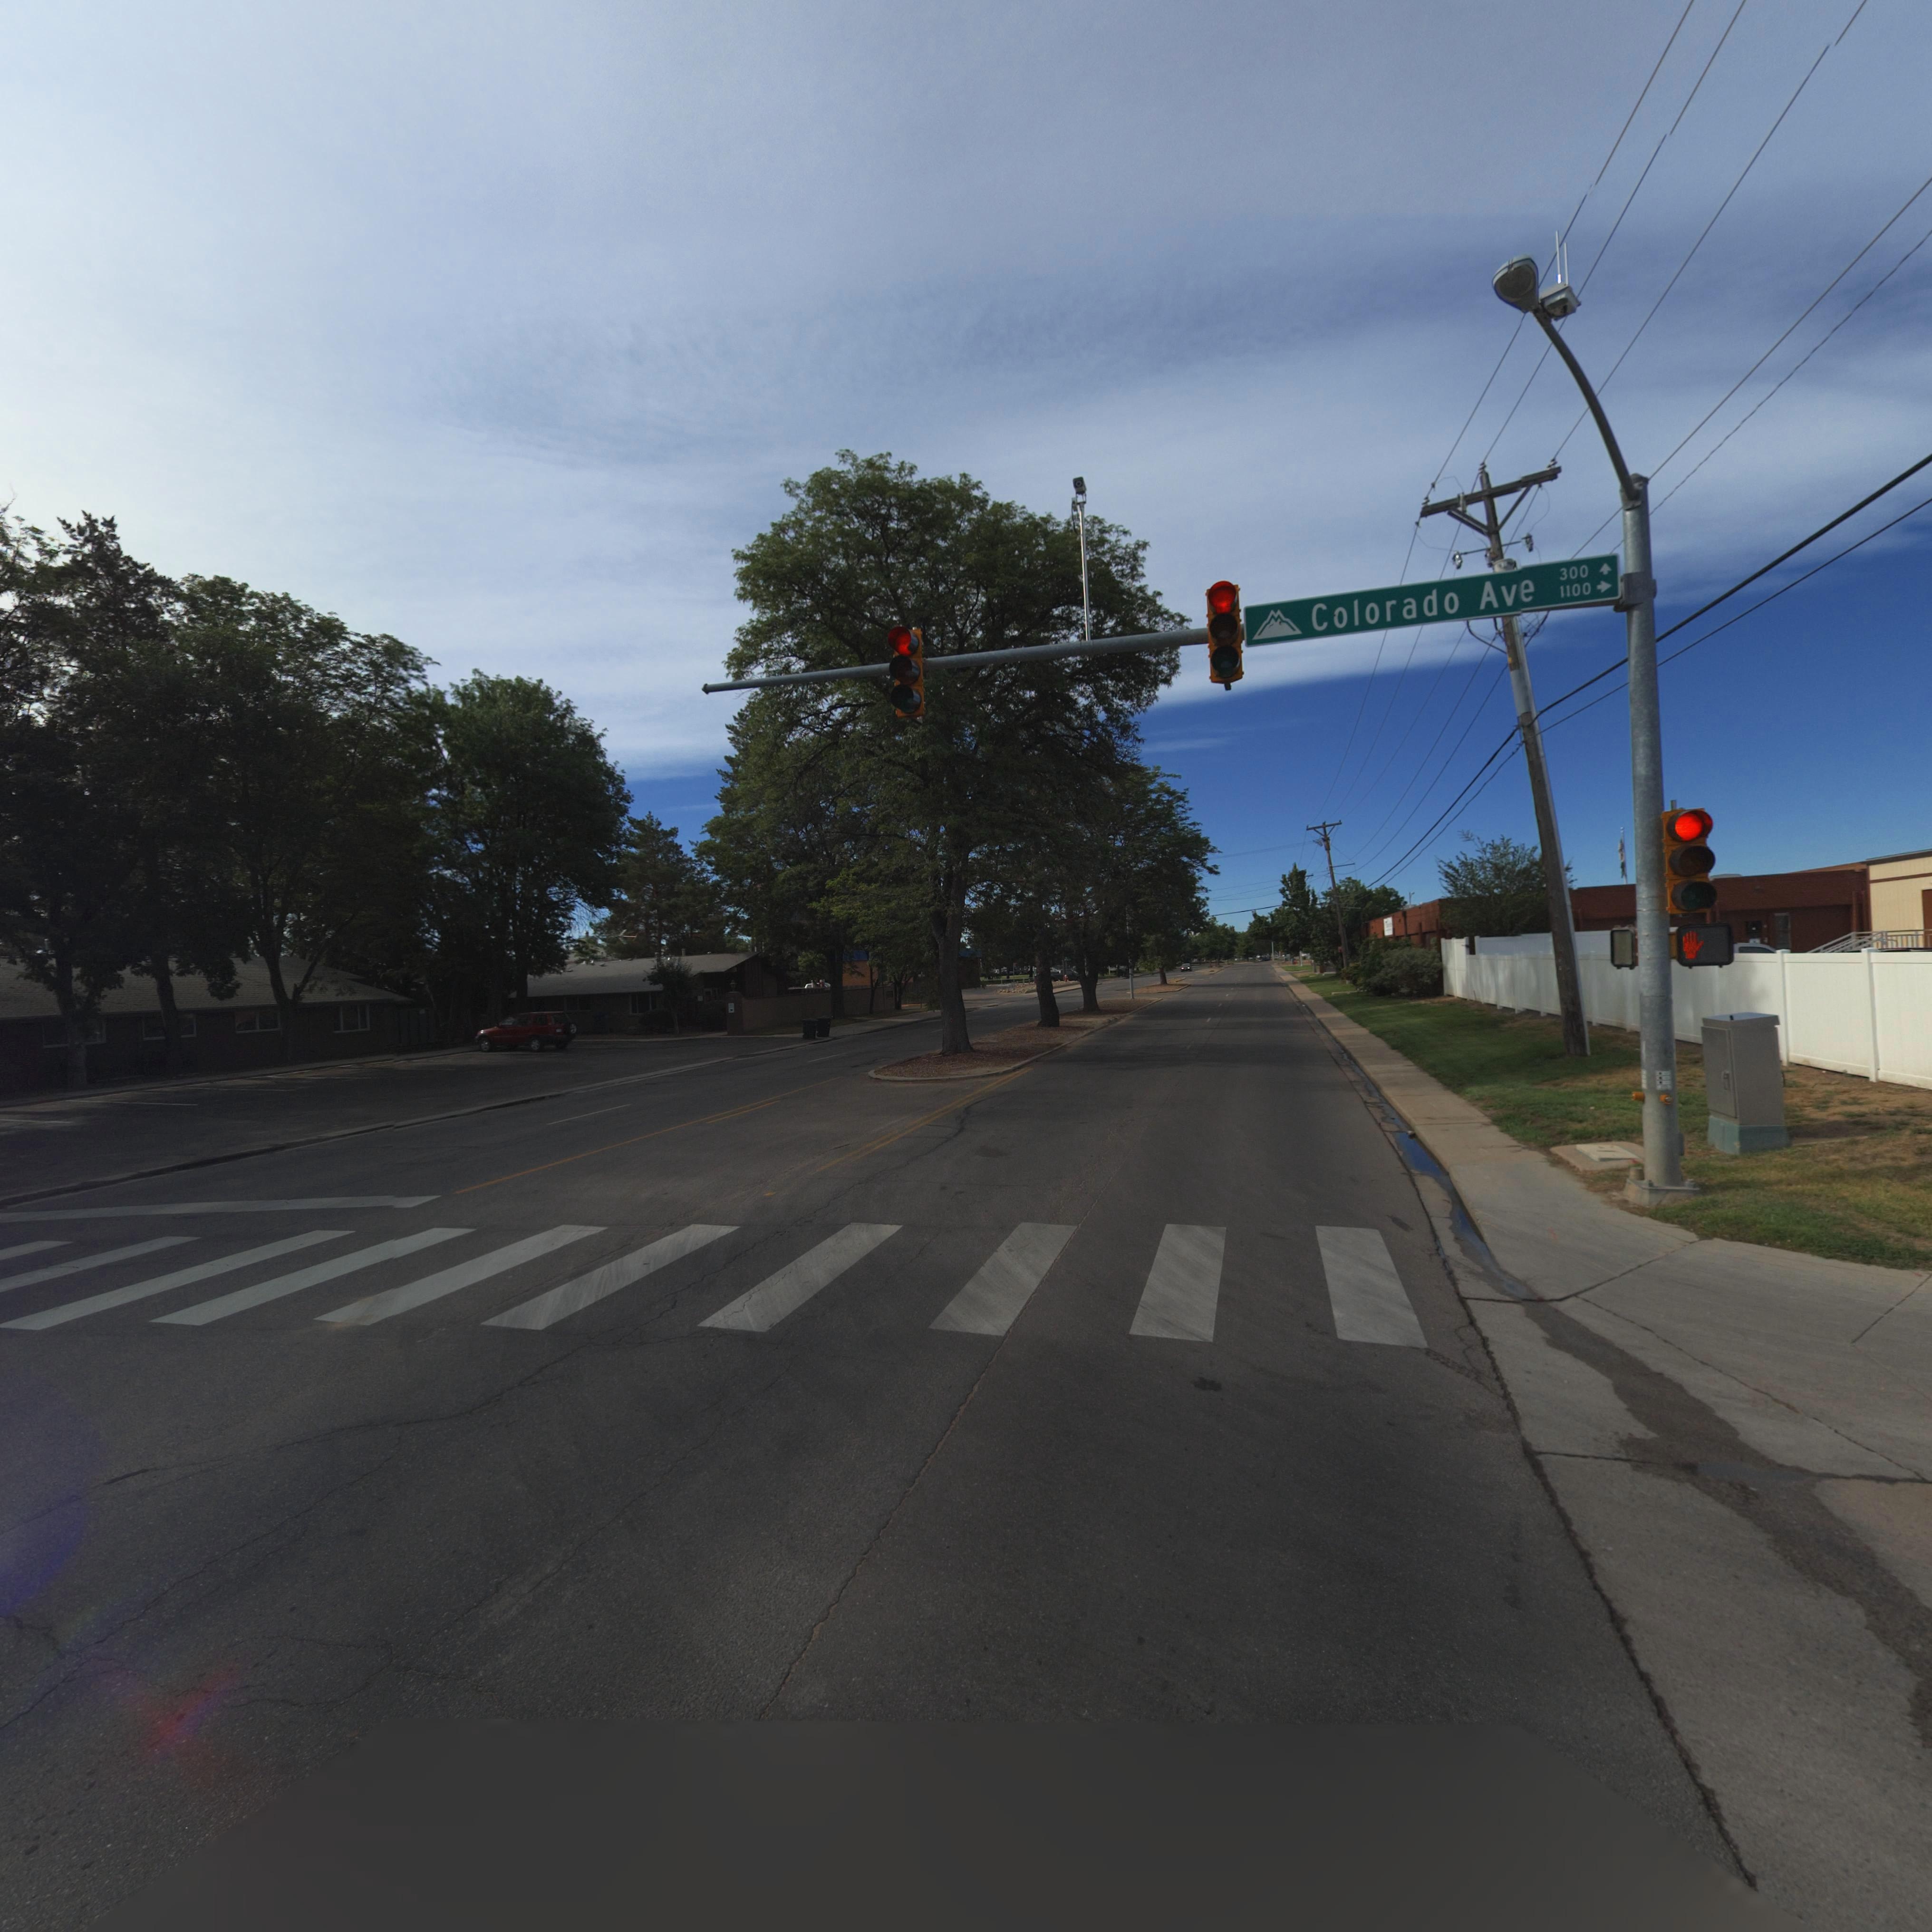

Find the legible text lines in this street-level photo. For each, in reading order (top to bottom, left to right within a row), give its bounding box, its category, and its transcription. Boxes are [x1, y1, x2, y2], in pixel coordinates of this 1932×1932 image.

[1559, 564, 1588, 581] StreetNumberRange: 300
[1559, 580, 1613, 598] StreetNumberRange: 1100->
[1311, 579, 1536, 631] StreetName: Colorado Ave